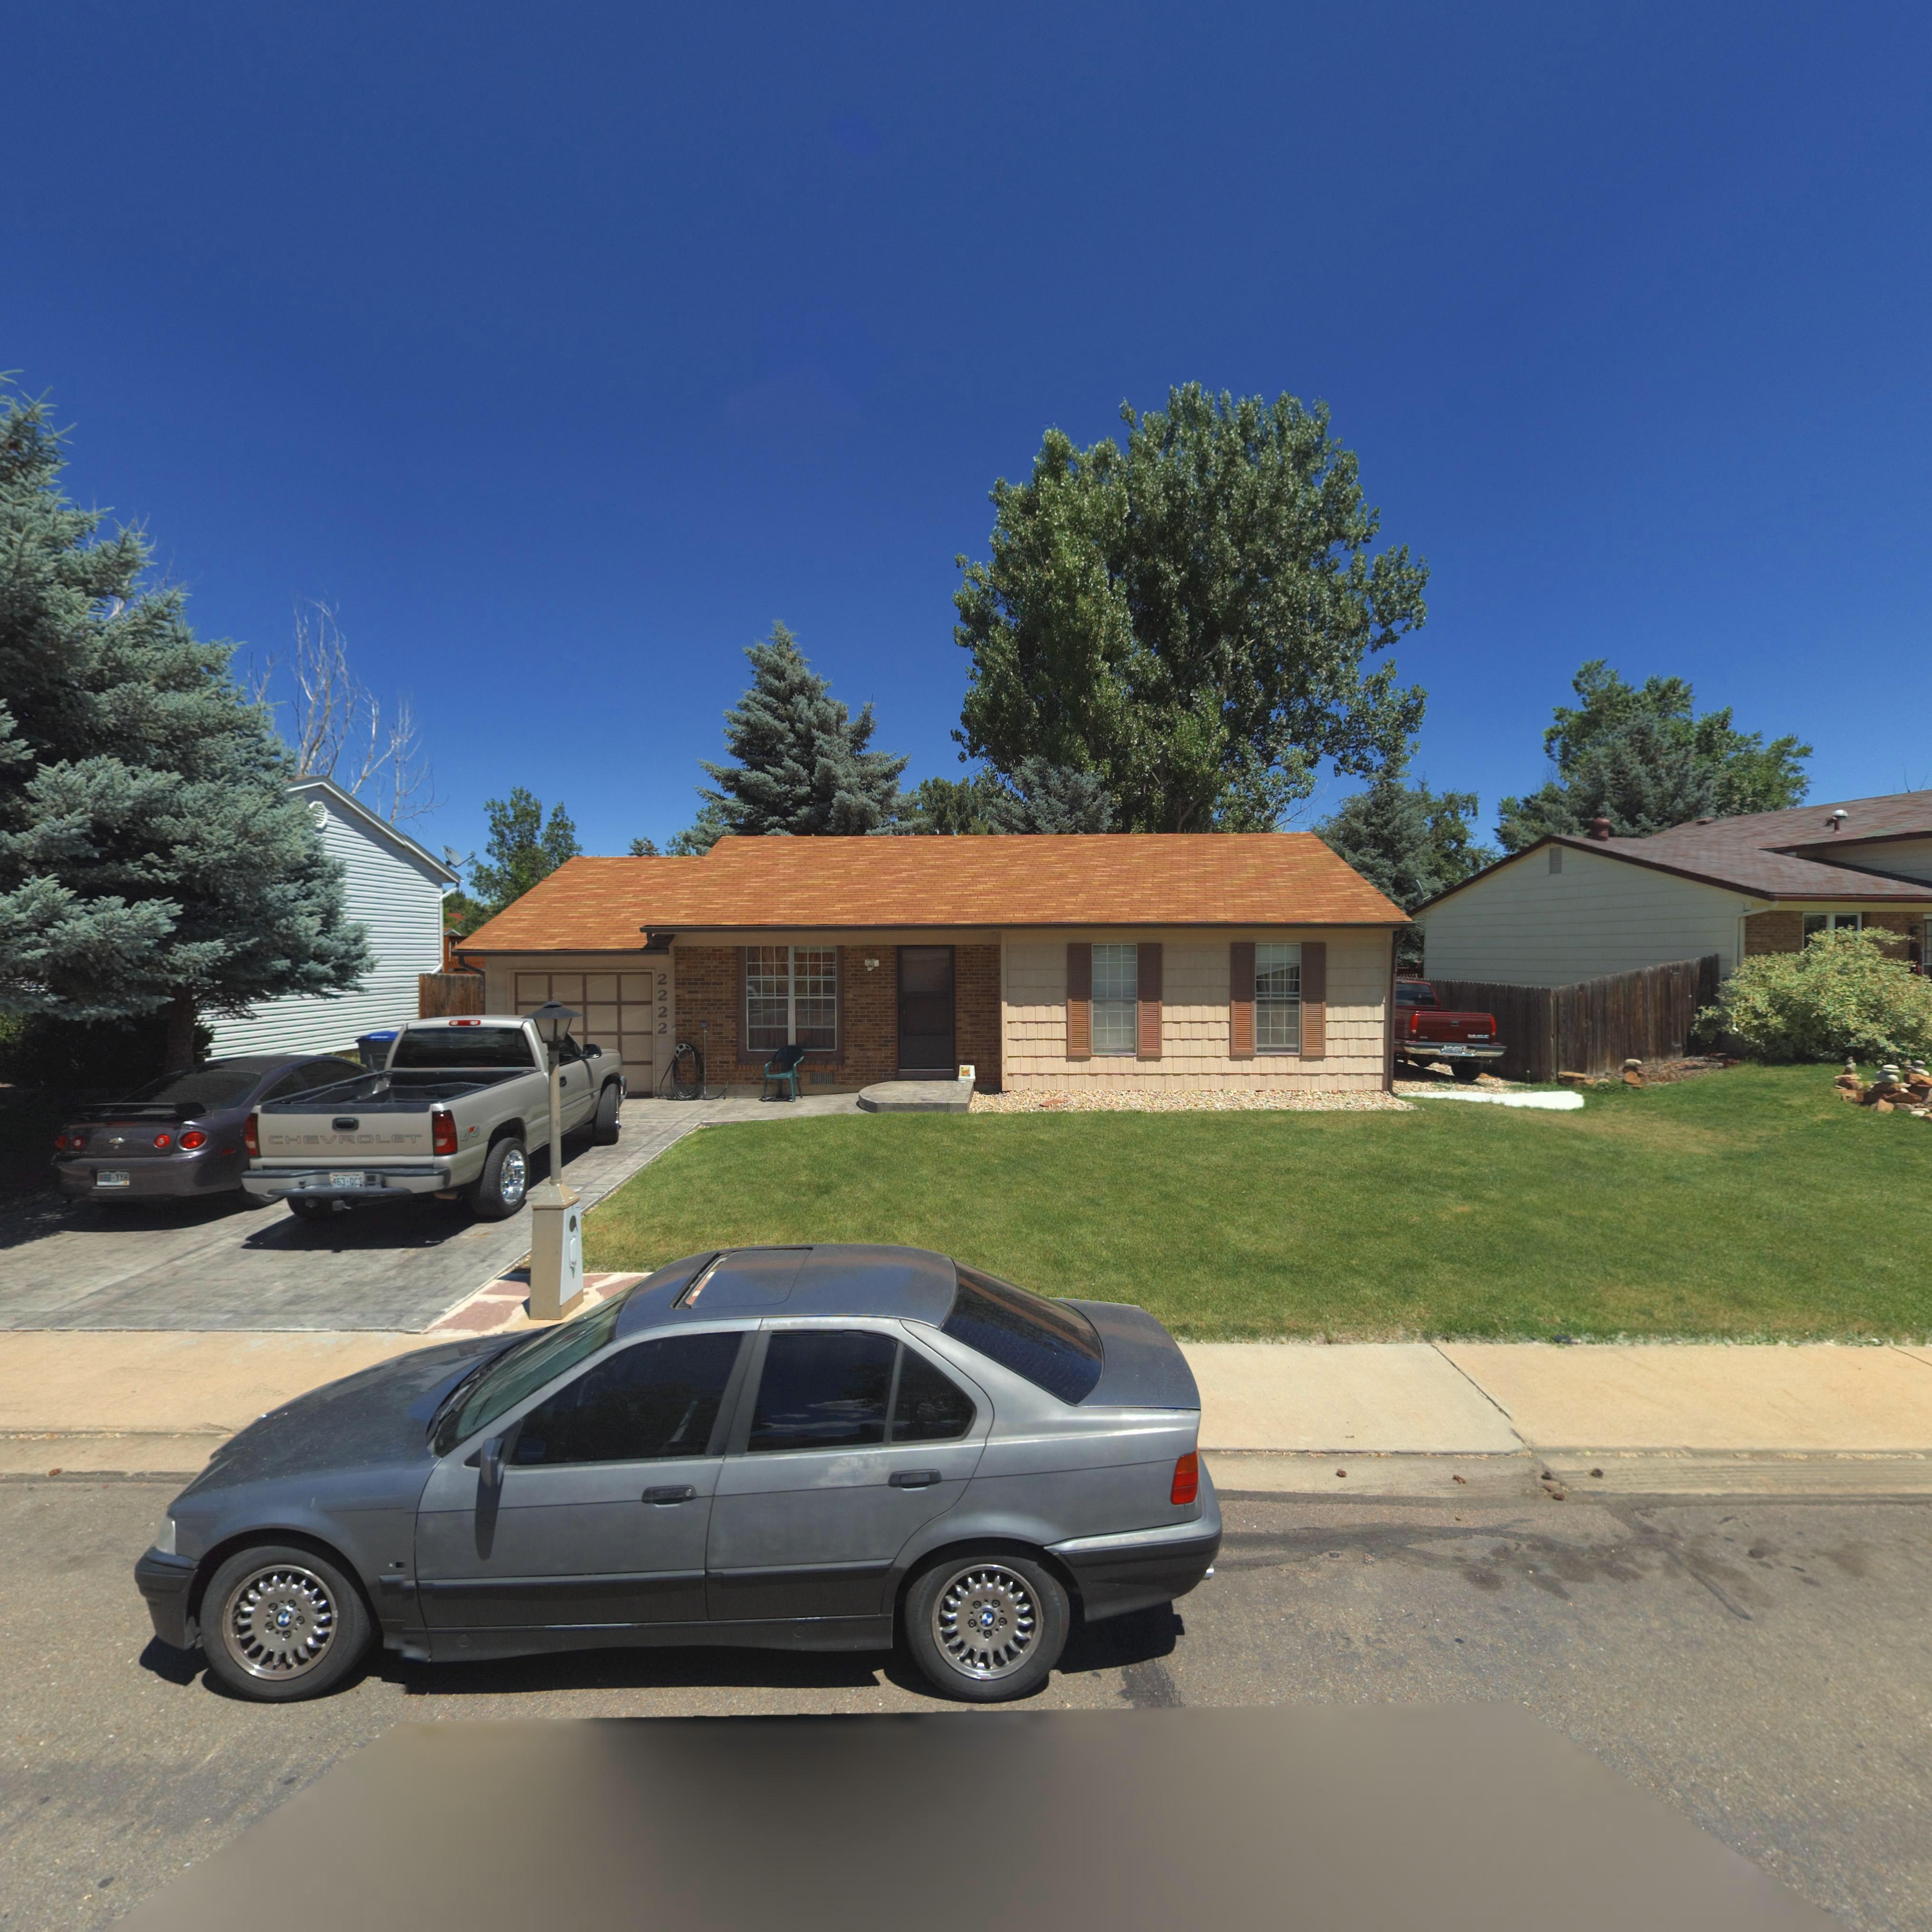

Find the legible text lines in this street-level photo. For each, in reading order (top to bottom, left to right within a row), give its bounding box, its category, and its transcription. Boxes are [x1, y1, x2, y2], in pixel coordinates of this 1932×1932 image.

[656, 972, 668, 1036] StreetNumber: 2222